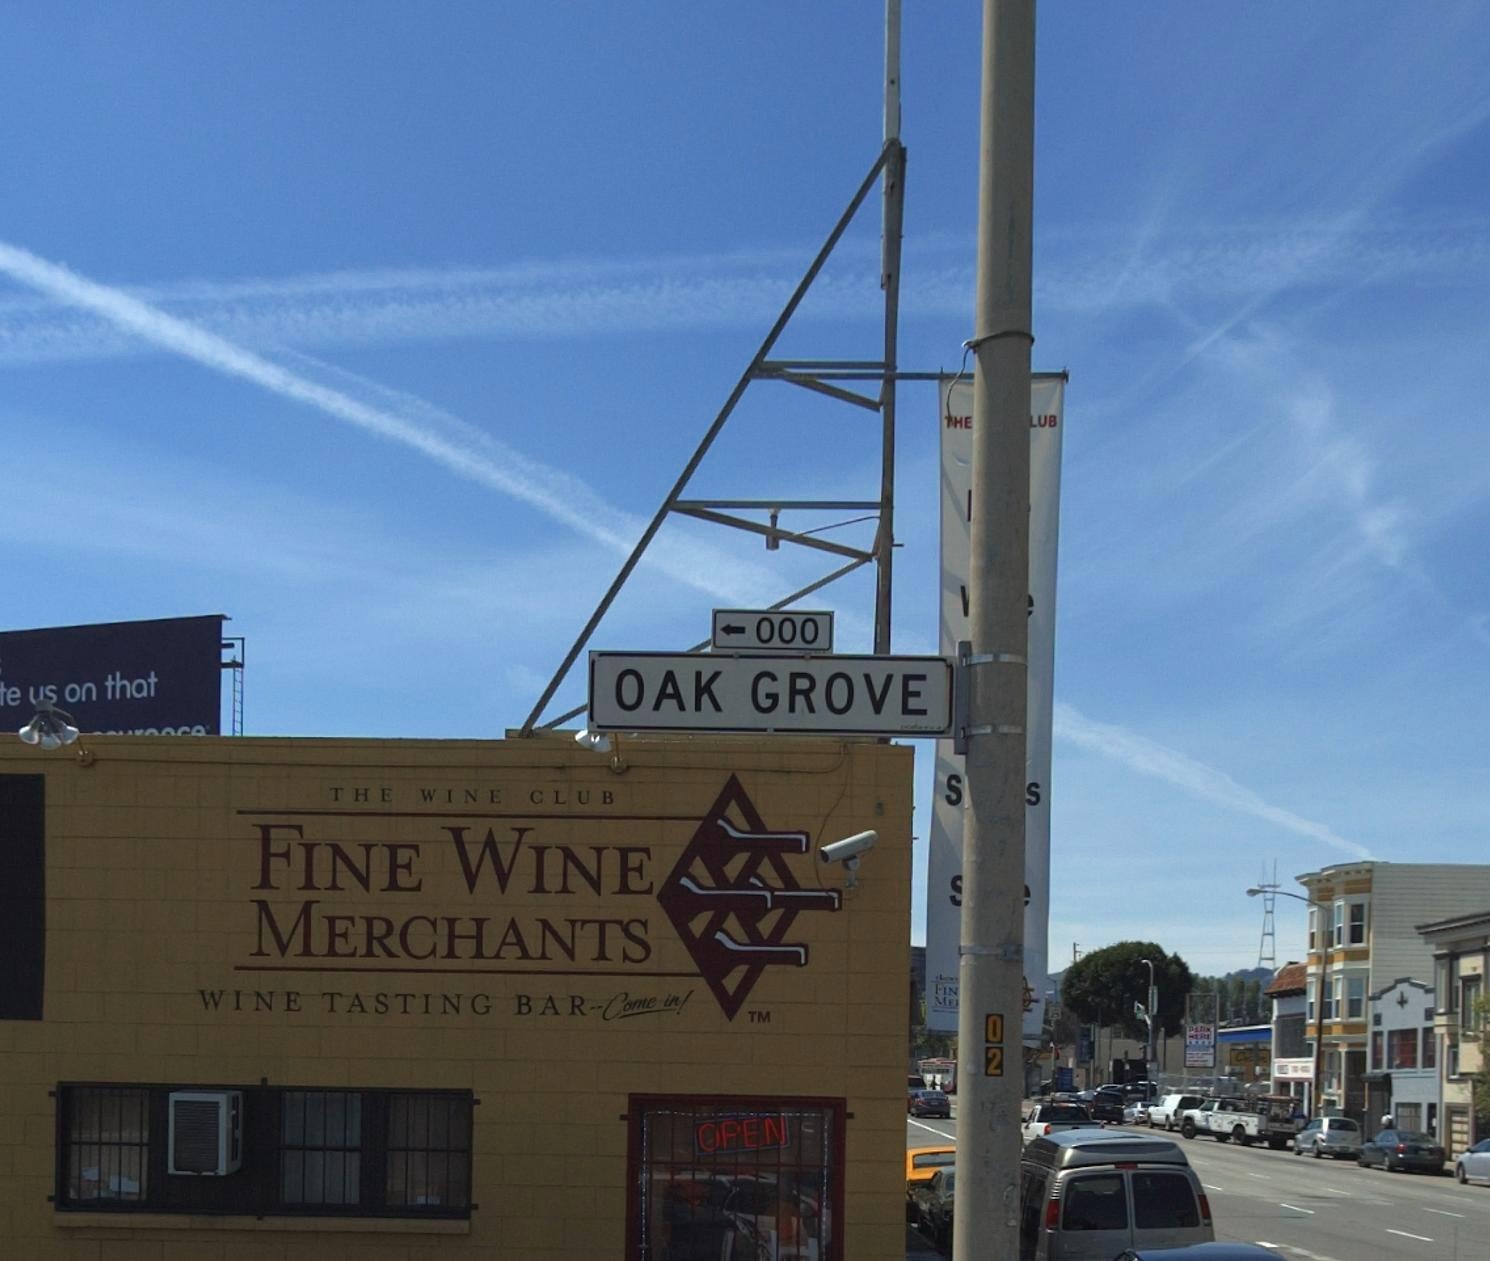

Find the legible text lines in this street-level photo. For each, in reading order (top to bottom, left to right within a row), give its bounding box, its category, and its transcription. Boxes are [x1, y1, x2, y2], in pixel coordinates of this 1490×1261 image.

[942, 414, 973, 430] None: THE
[1029, 413, 1058, 428] None: LUB
[718, 617, 818, 644] StreetNumberRange: <-000
[6, 669, 159, 707] None: e us on that
[614, 667, 933, 719] StreetName: OAK GROVE
[327, 786, 616, 805] BusinessName: THE WINE CLUB
[942, 769, 963, 808] None: S
[1022, 780, 1041, 806] None: S
[245, 819, 658, 897] BusinessName: FINE WINE
[247, 896, 655, 963] BusinessName: MERCHANTS
[198, 987, 587, 1018] BusinessName: WINE TASTING BAR
[588, 986, 698, 1025] None: --Come in!
[746, 1009, 772, 1024] None: TM
[985, 1013, 1004, 1076] None: 02
[697, 1112, 788, 1152] None: OPEN